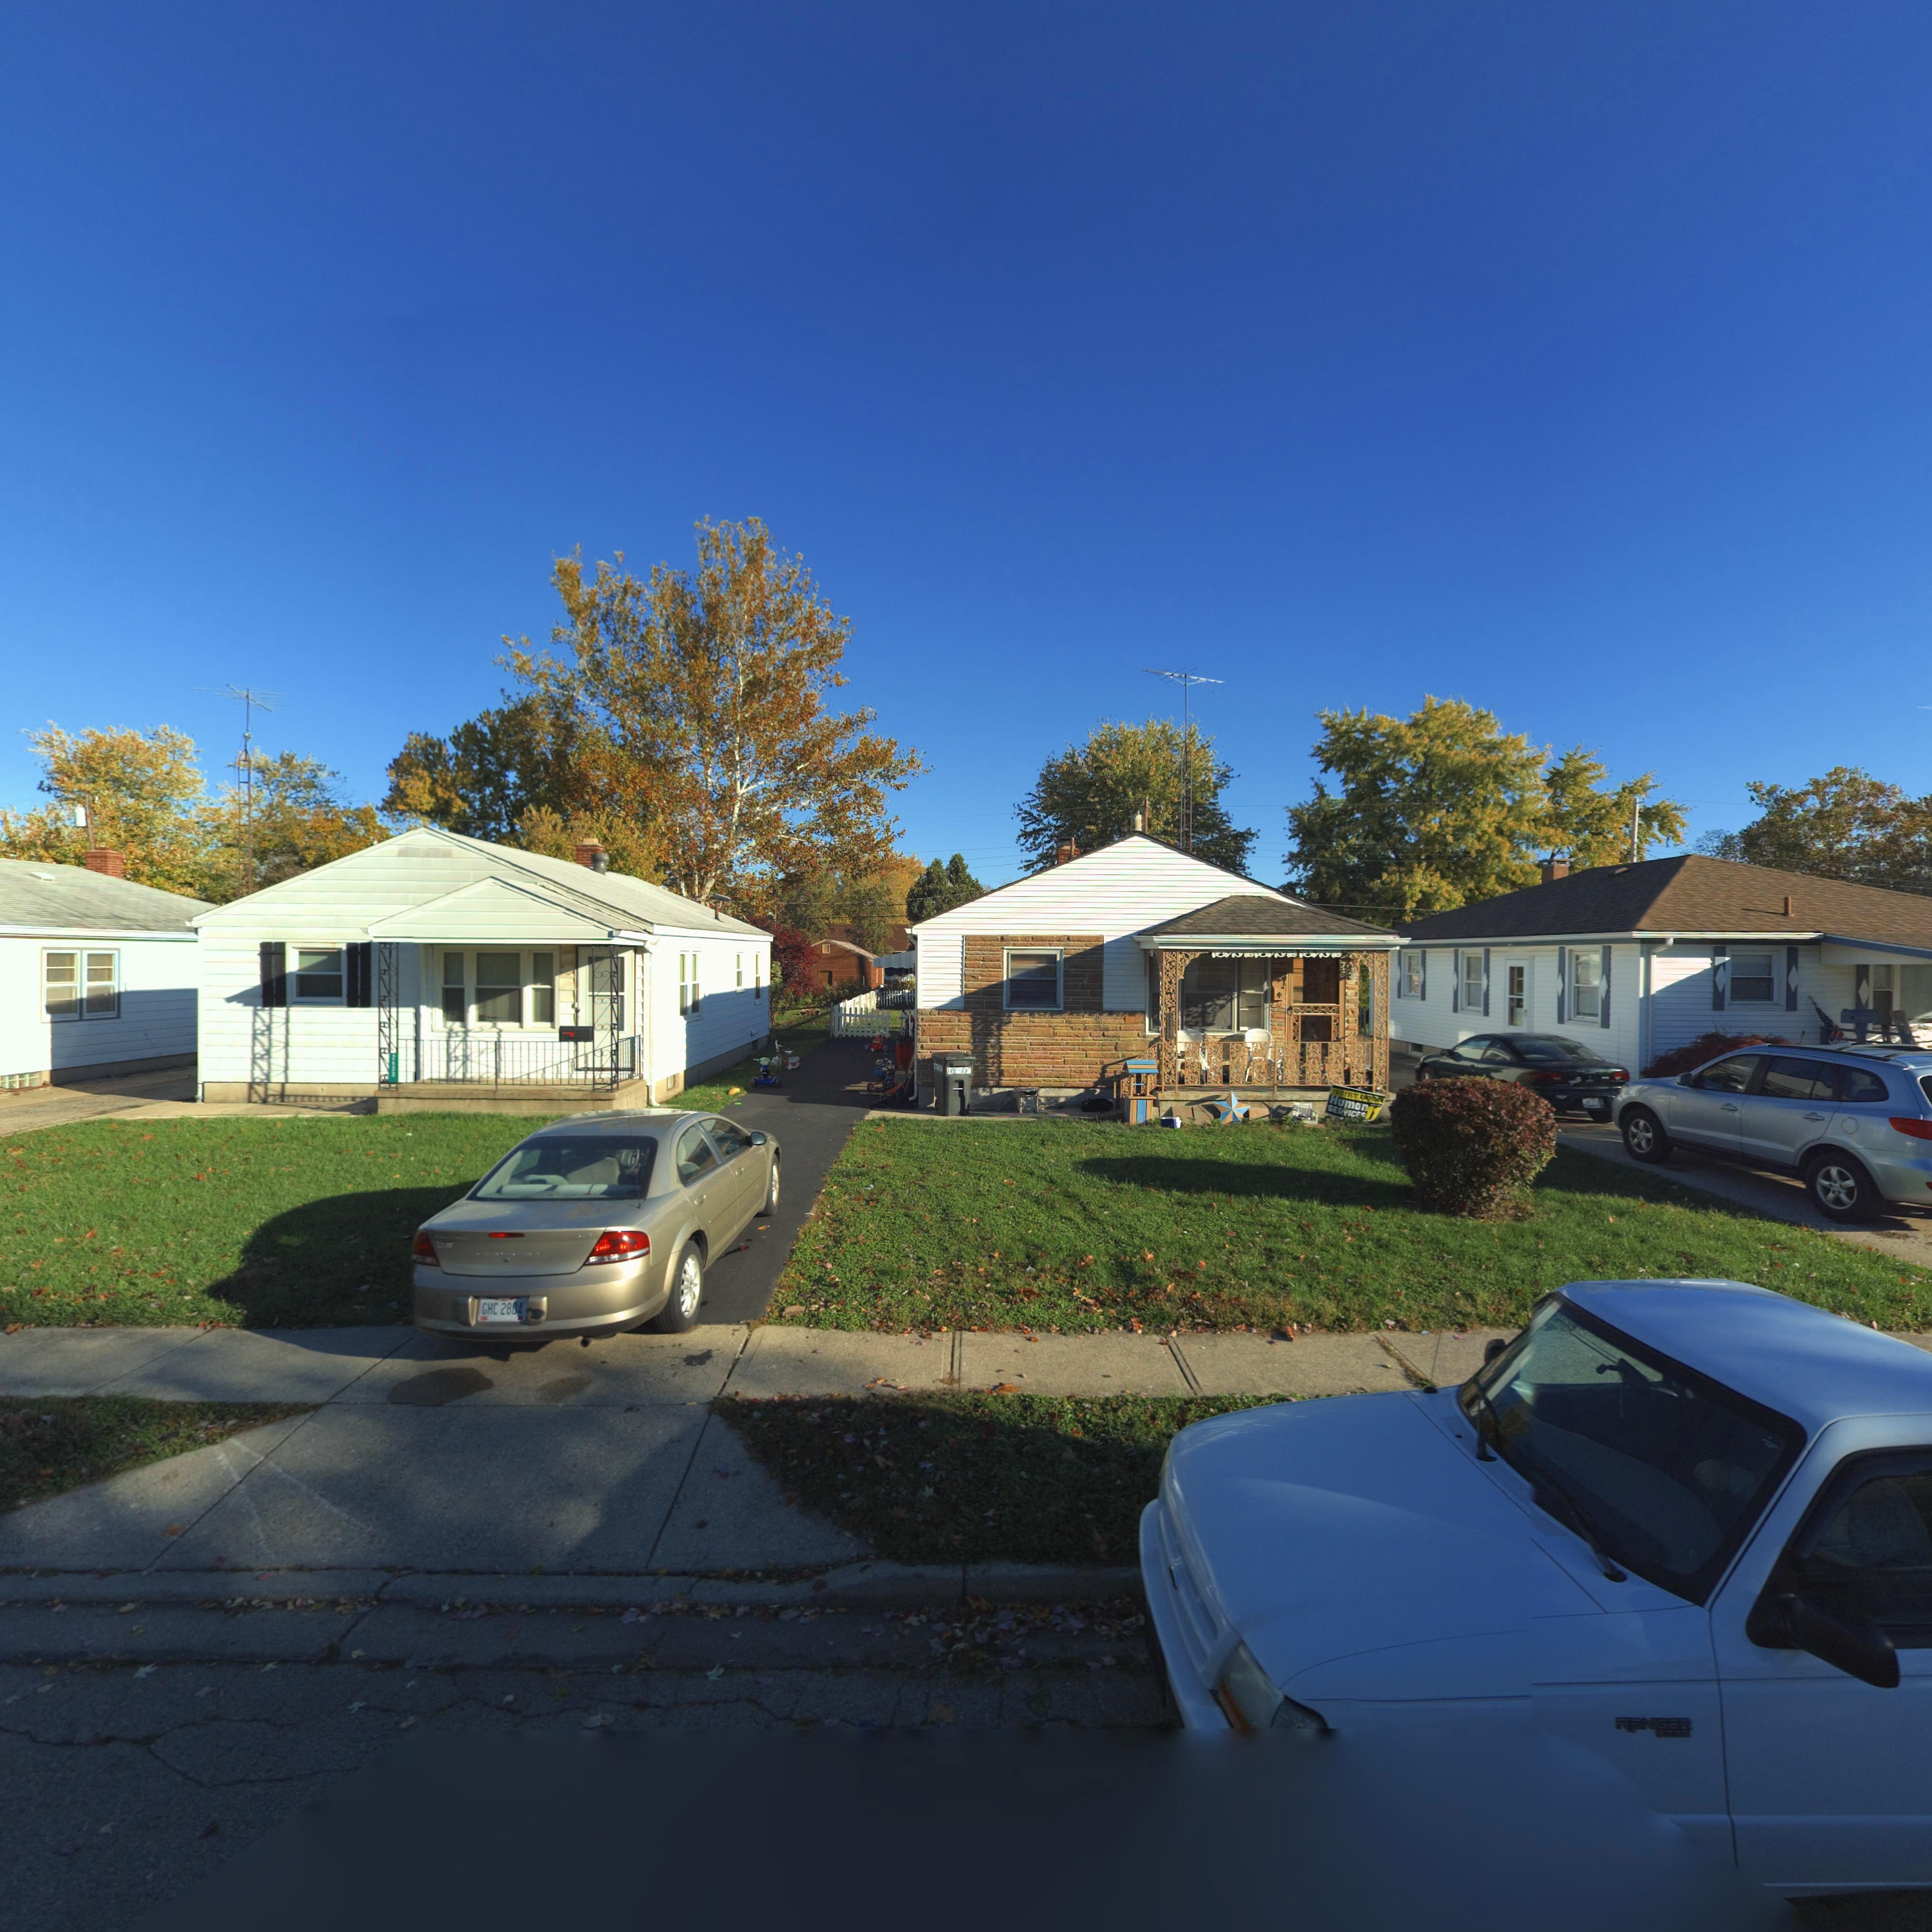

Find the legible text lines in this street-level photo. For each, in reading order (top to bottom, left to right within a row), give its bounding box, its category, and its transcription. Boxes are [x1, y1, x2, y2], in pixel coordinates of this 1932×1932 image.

[1169, 1014, 1174, 1038] StreetNumber: 2425
[390, 1053, 396, 1078] StreetNumber: 2433